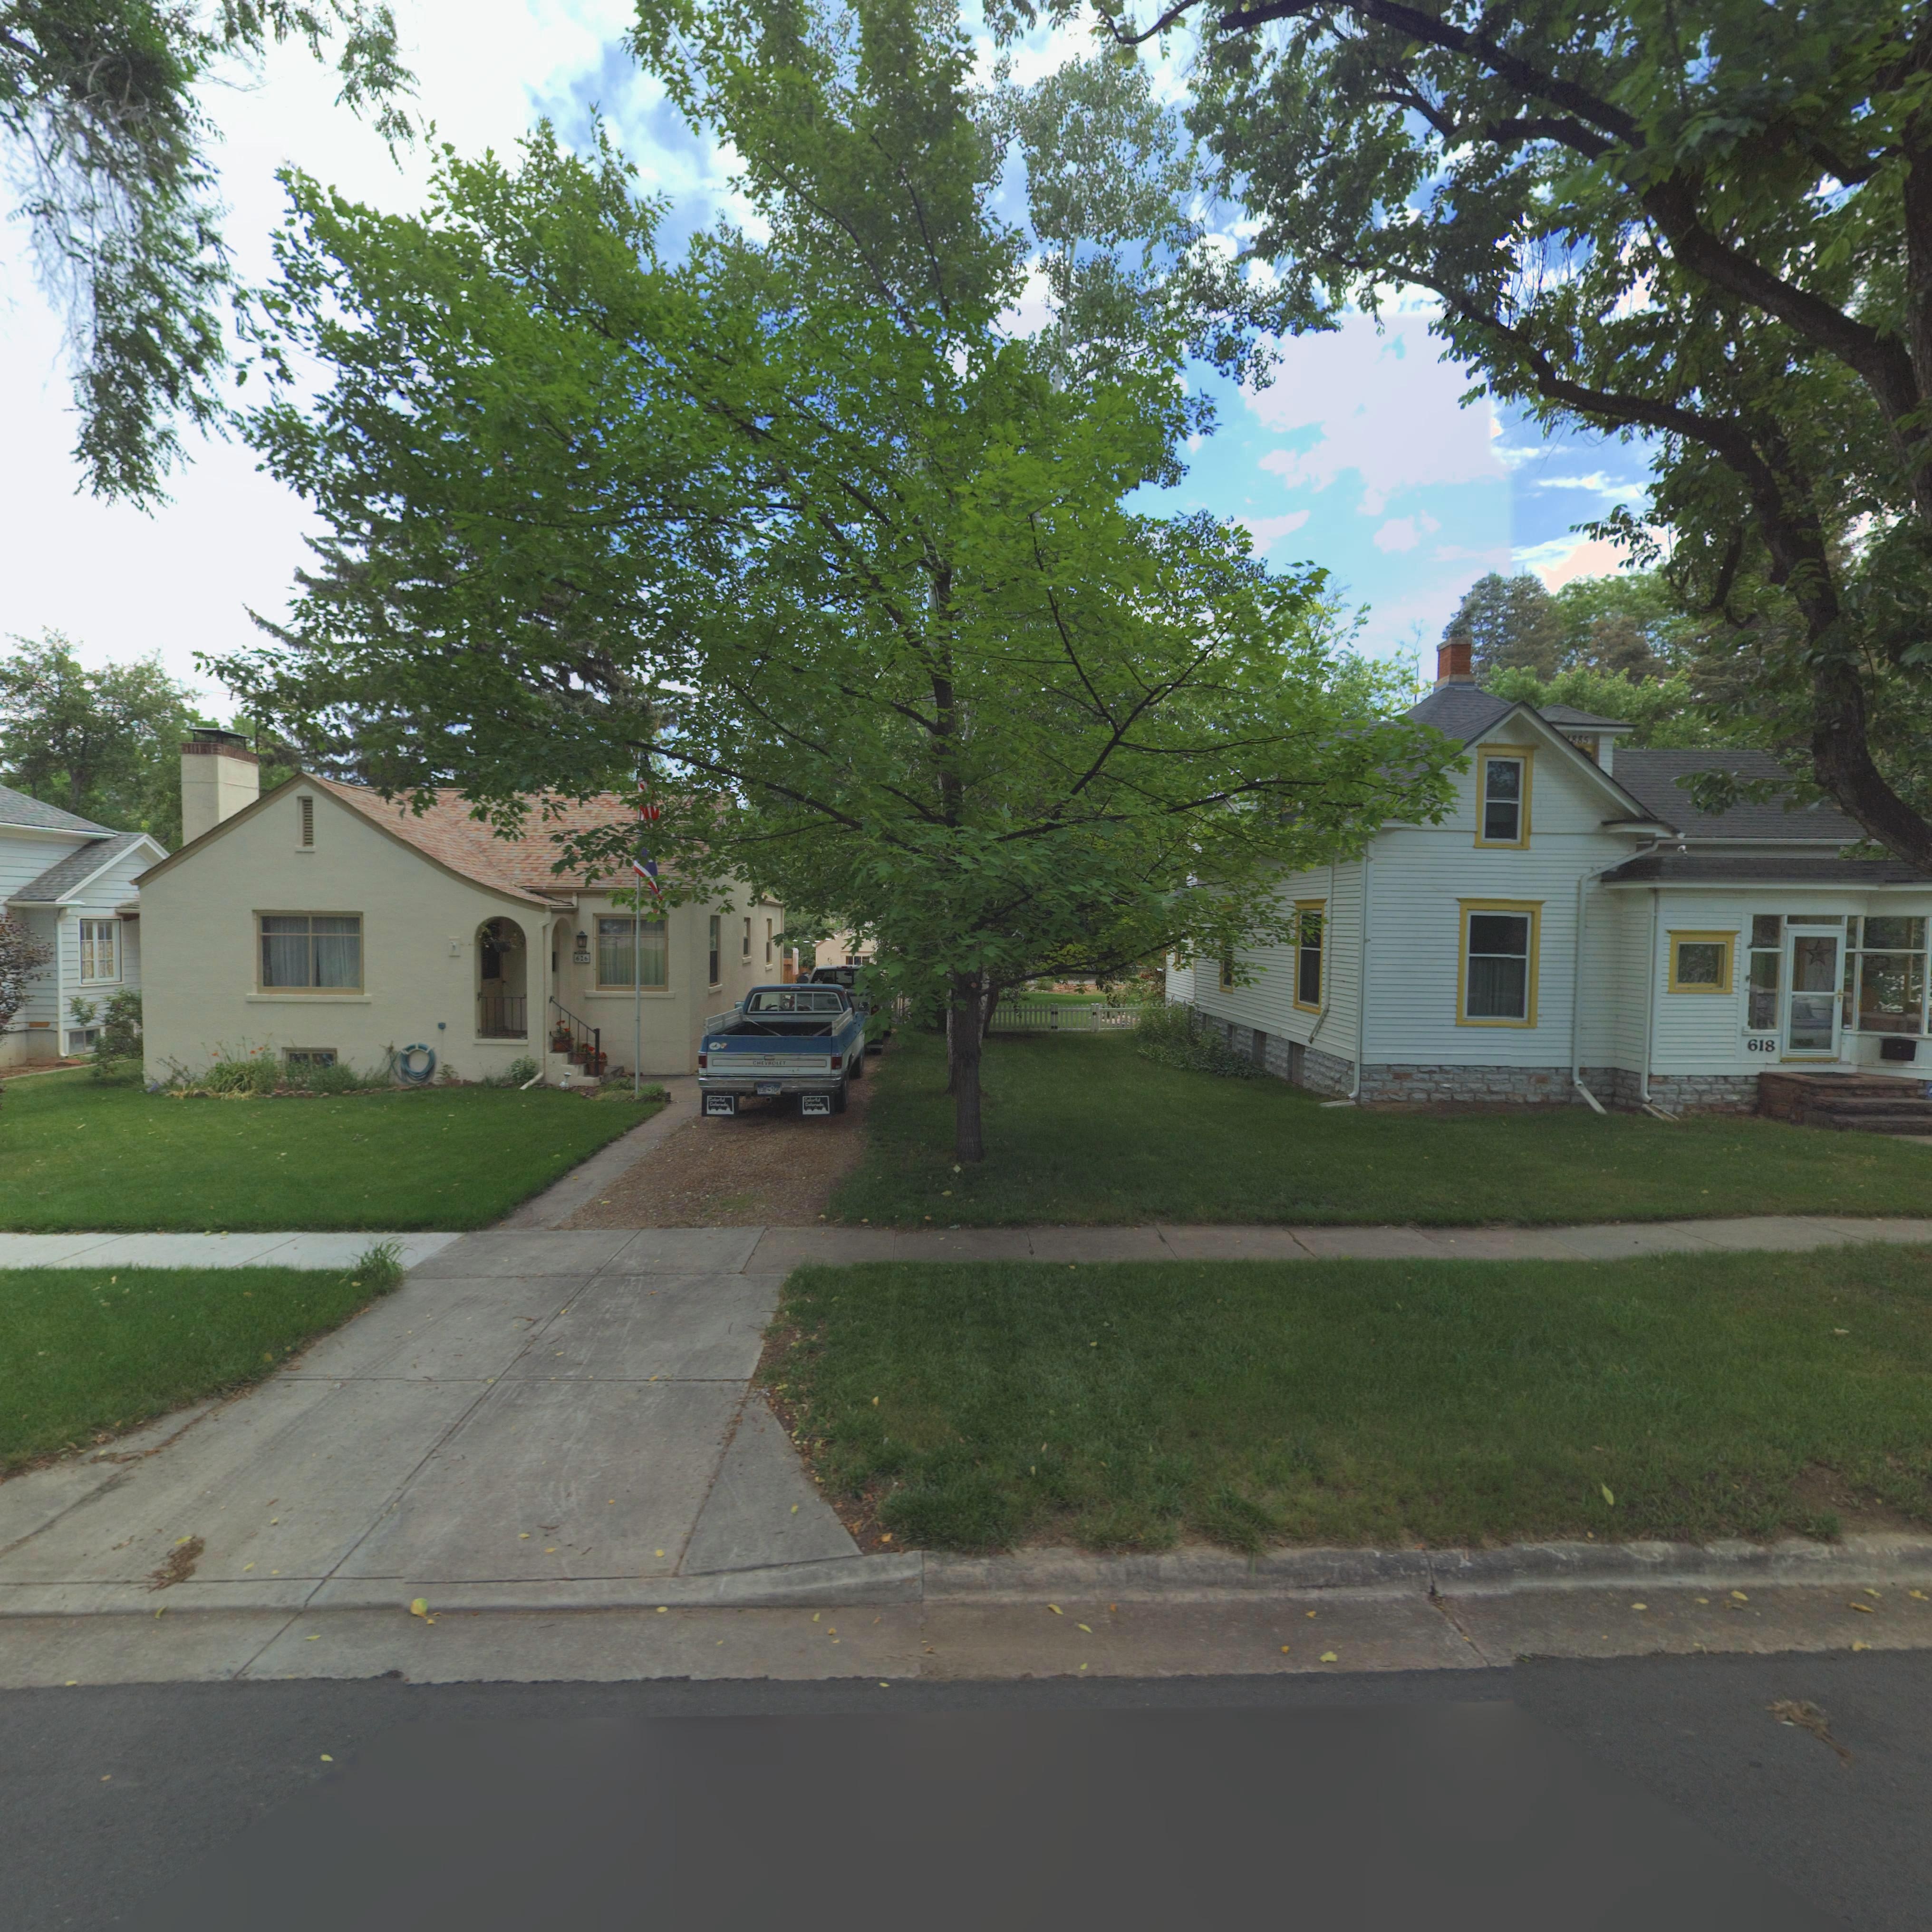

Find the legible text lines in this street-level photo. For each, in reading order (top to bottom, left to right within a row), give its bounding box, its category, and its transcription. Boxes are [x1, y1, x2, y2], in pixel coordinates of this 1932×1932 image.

[575, 955, 588, 961] StreetNumber: 626
[1747, 1039, 1776, 1053] StreetNumber: 618